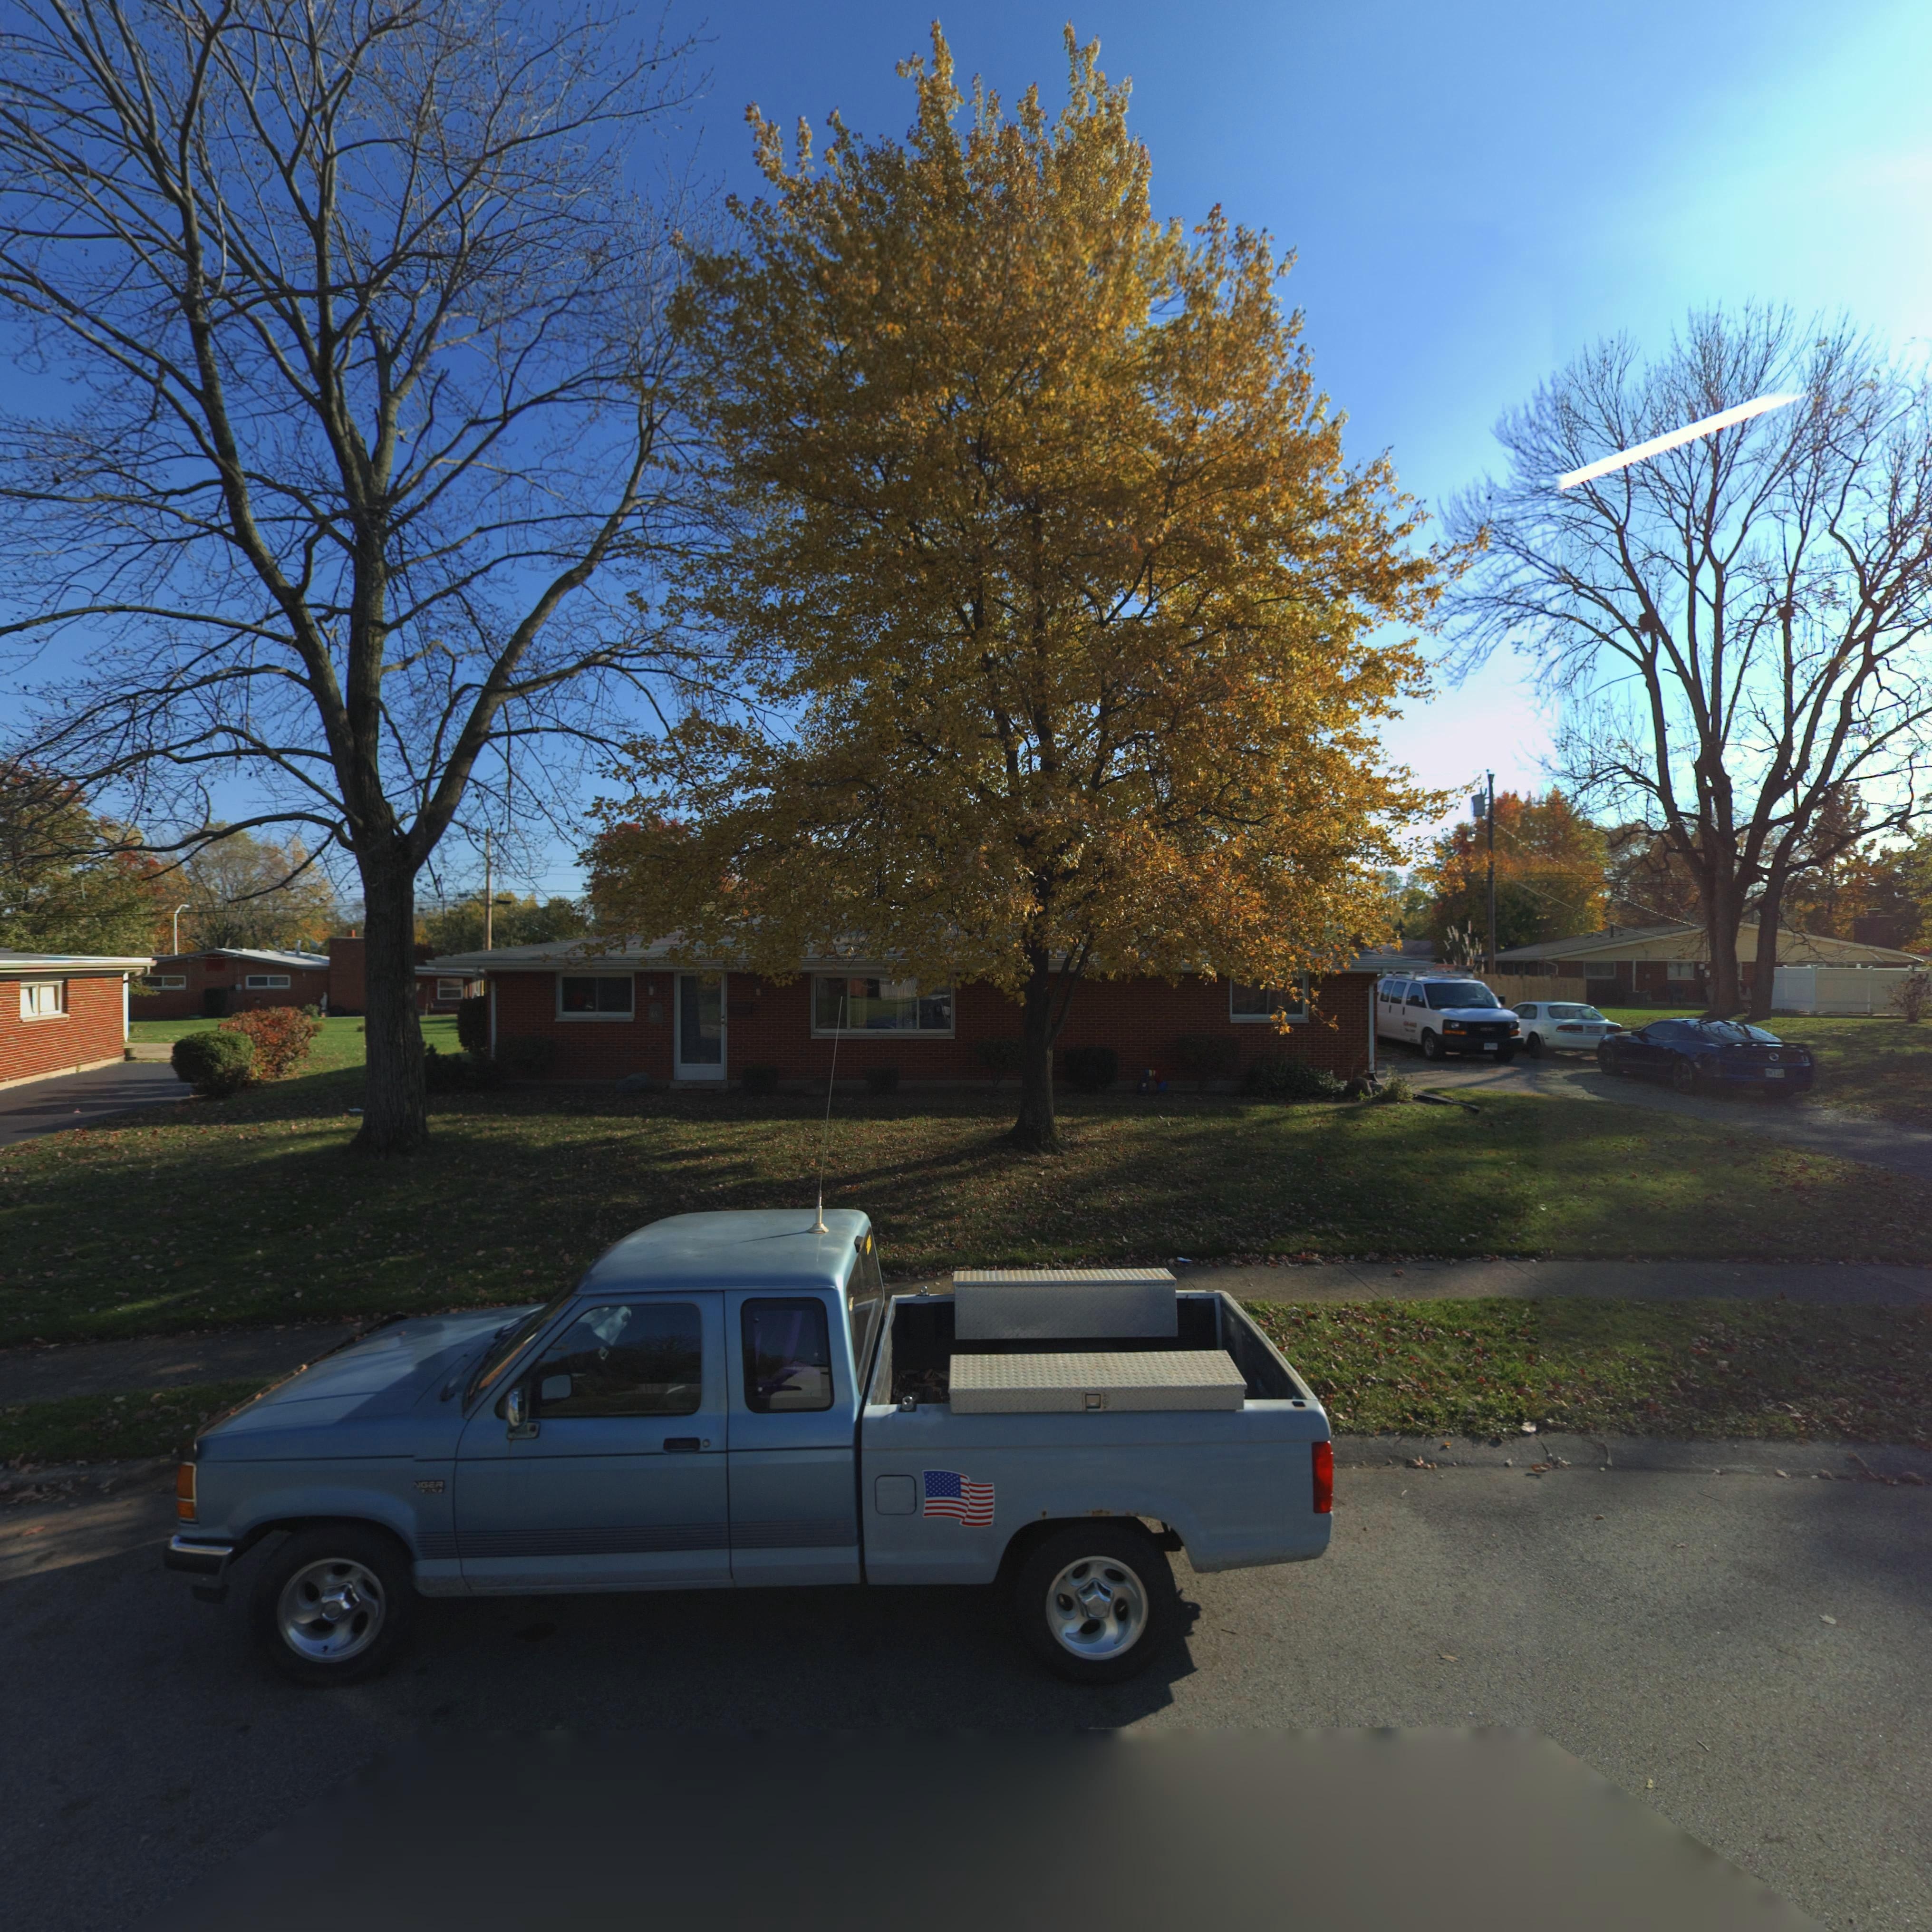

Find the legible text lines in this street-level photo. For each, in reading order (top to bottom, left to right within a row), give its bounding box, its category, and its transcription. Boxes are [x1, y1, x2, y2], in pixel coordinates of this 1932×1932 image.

[650, 1010, 661, 1018] StreetNumber: 65*